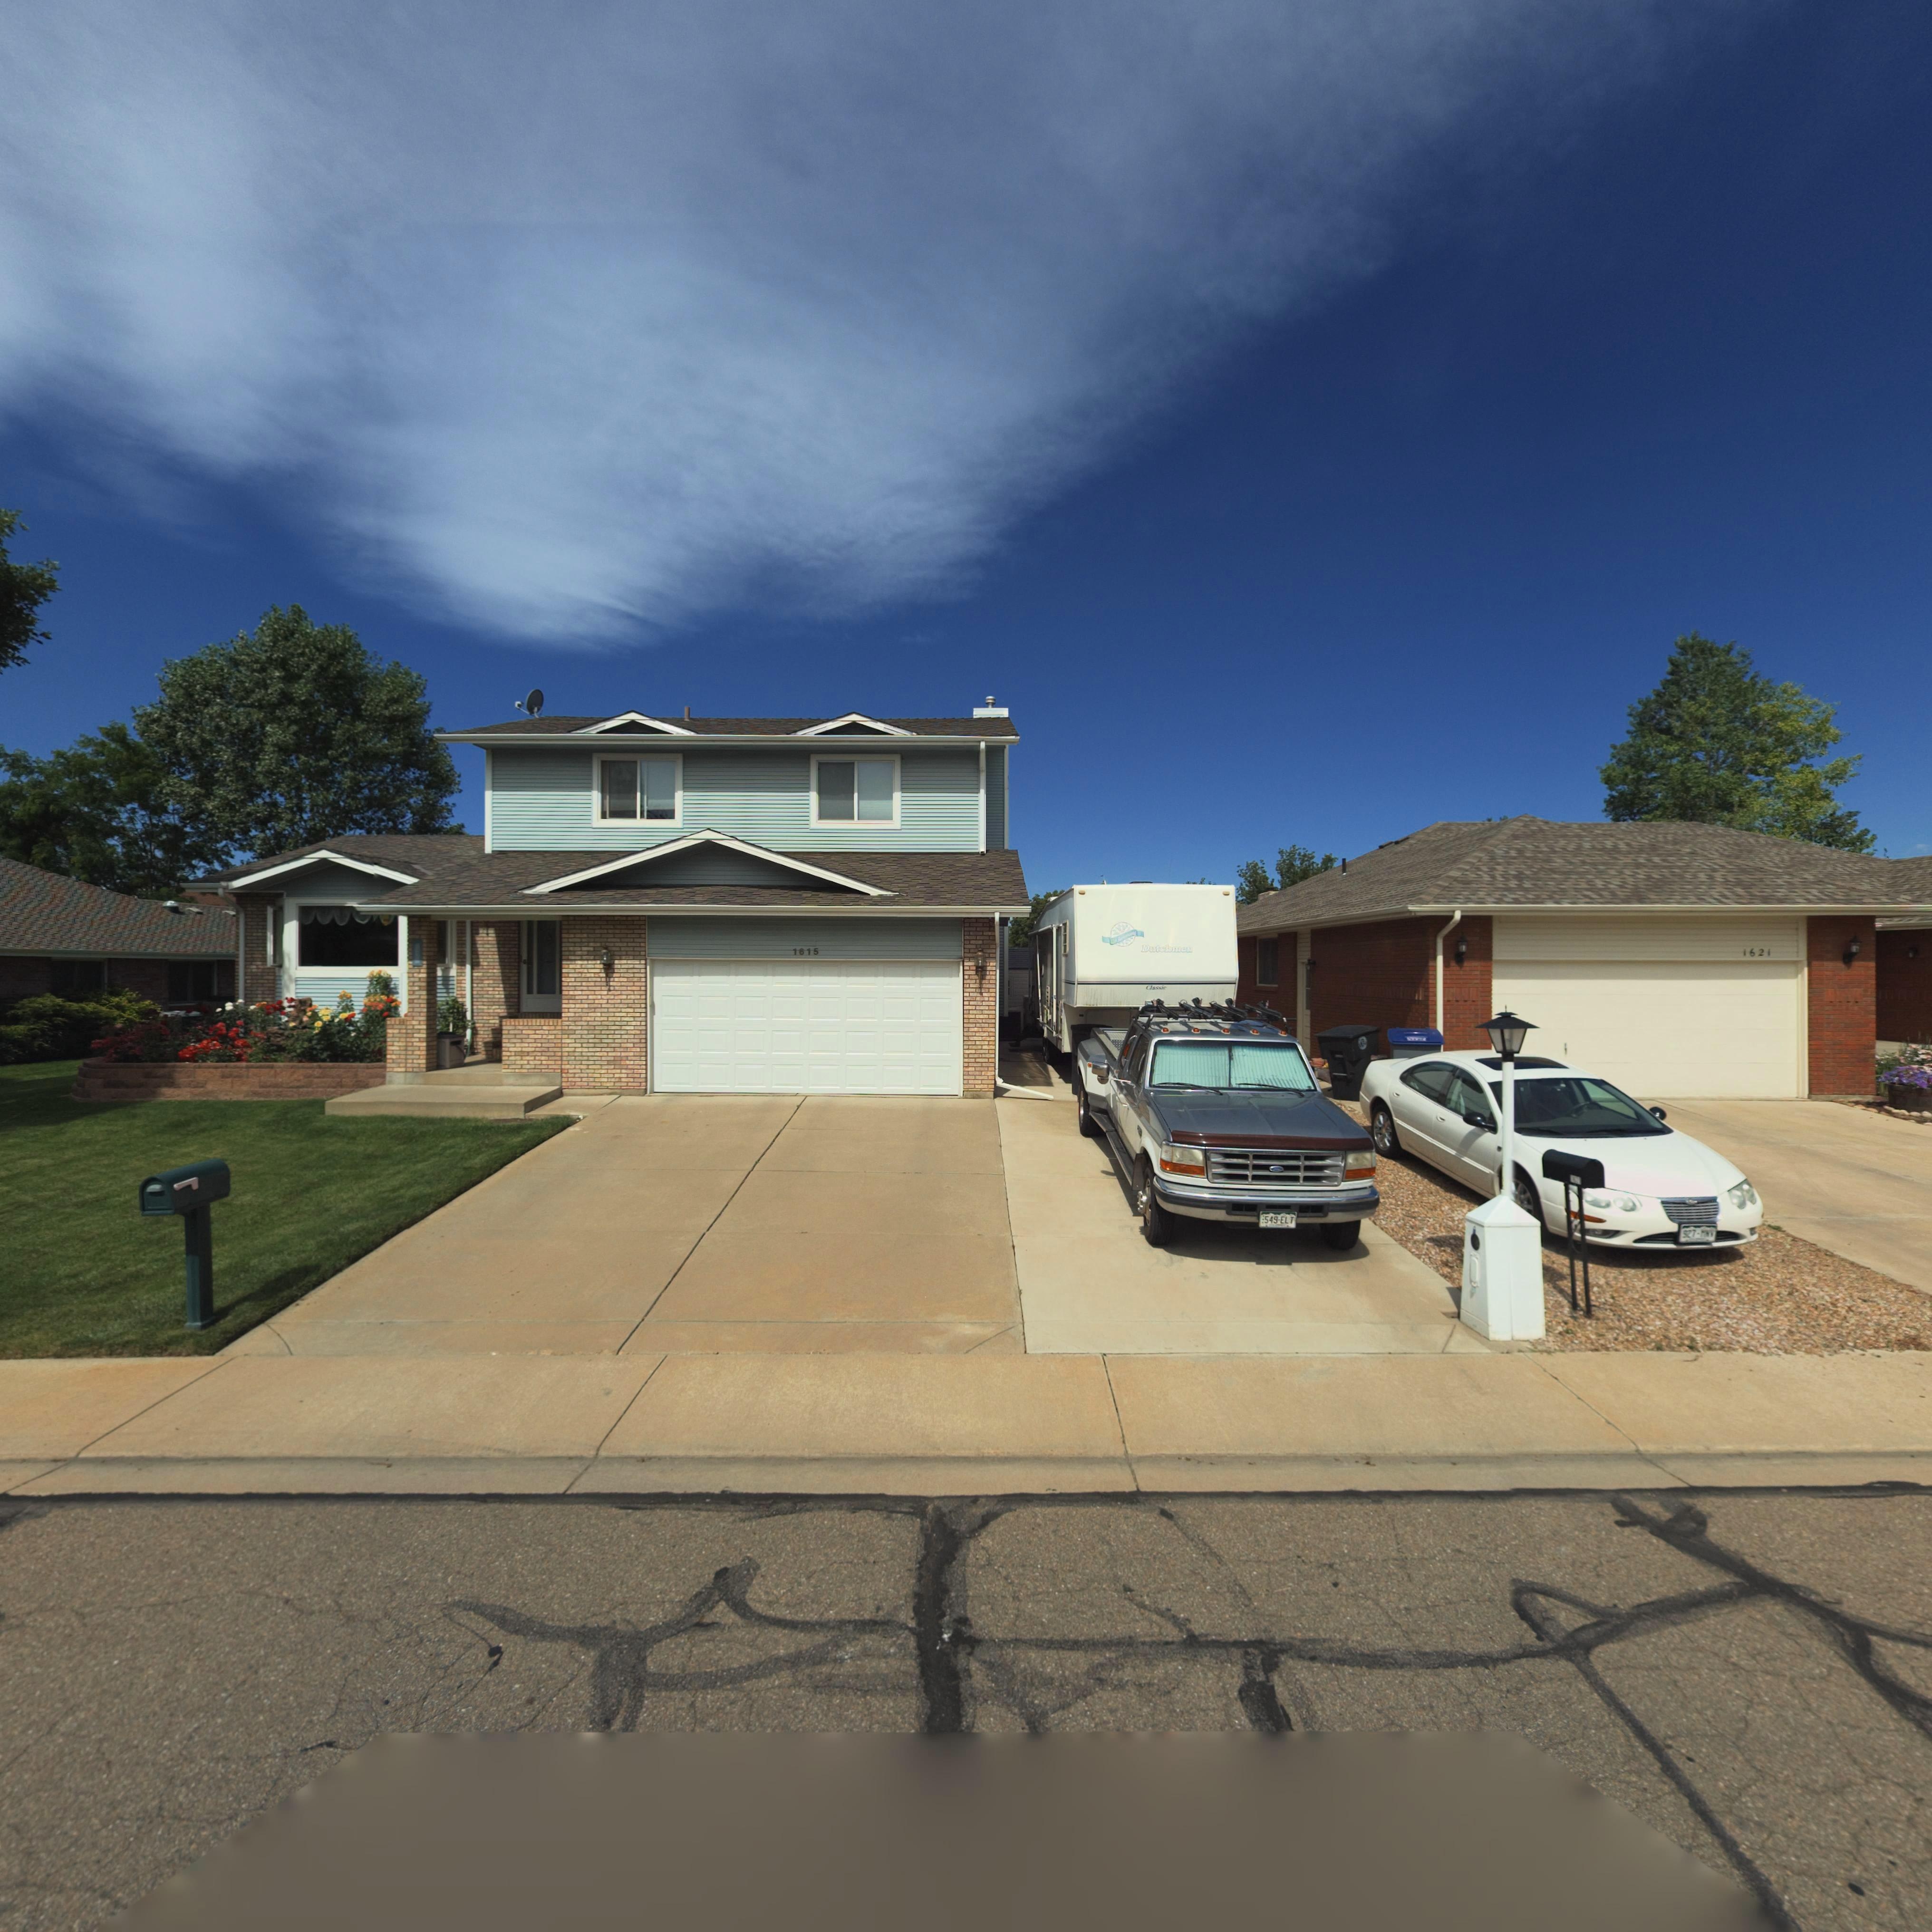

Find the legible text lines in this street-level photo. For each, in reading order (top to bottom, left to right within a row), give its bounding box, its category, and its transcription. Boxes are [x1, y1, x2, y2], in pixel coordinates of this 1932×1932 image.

[792, 947, 819, 955] StreetNumber: 1615
[1742, 947, 1771, 957] StreetNumber: 1621